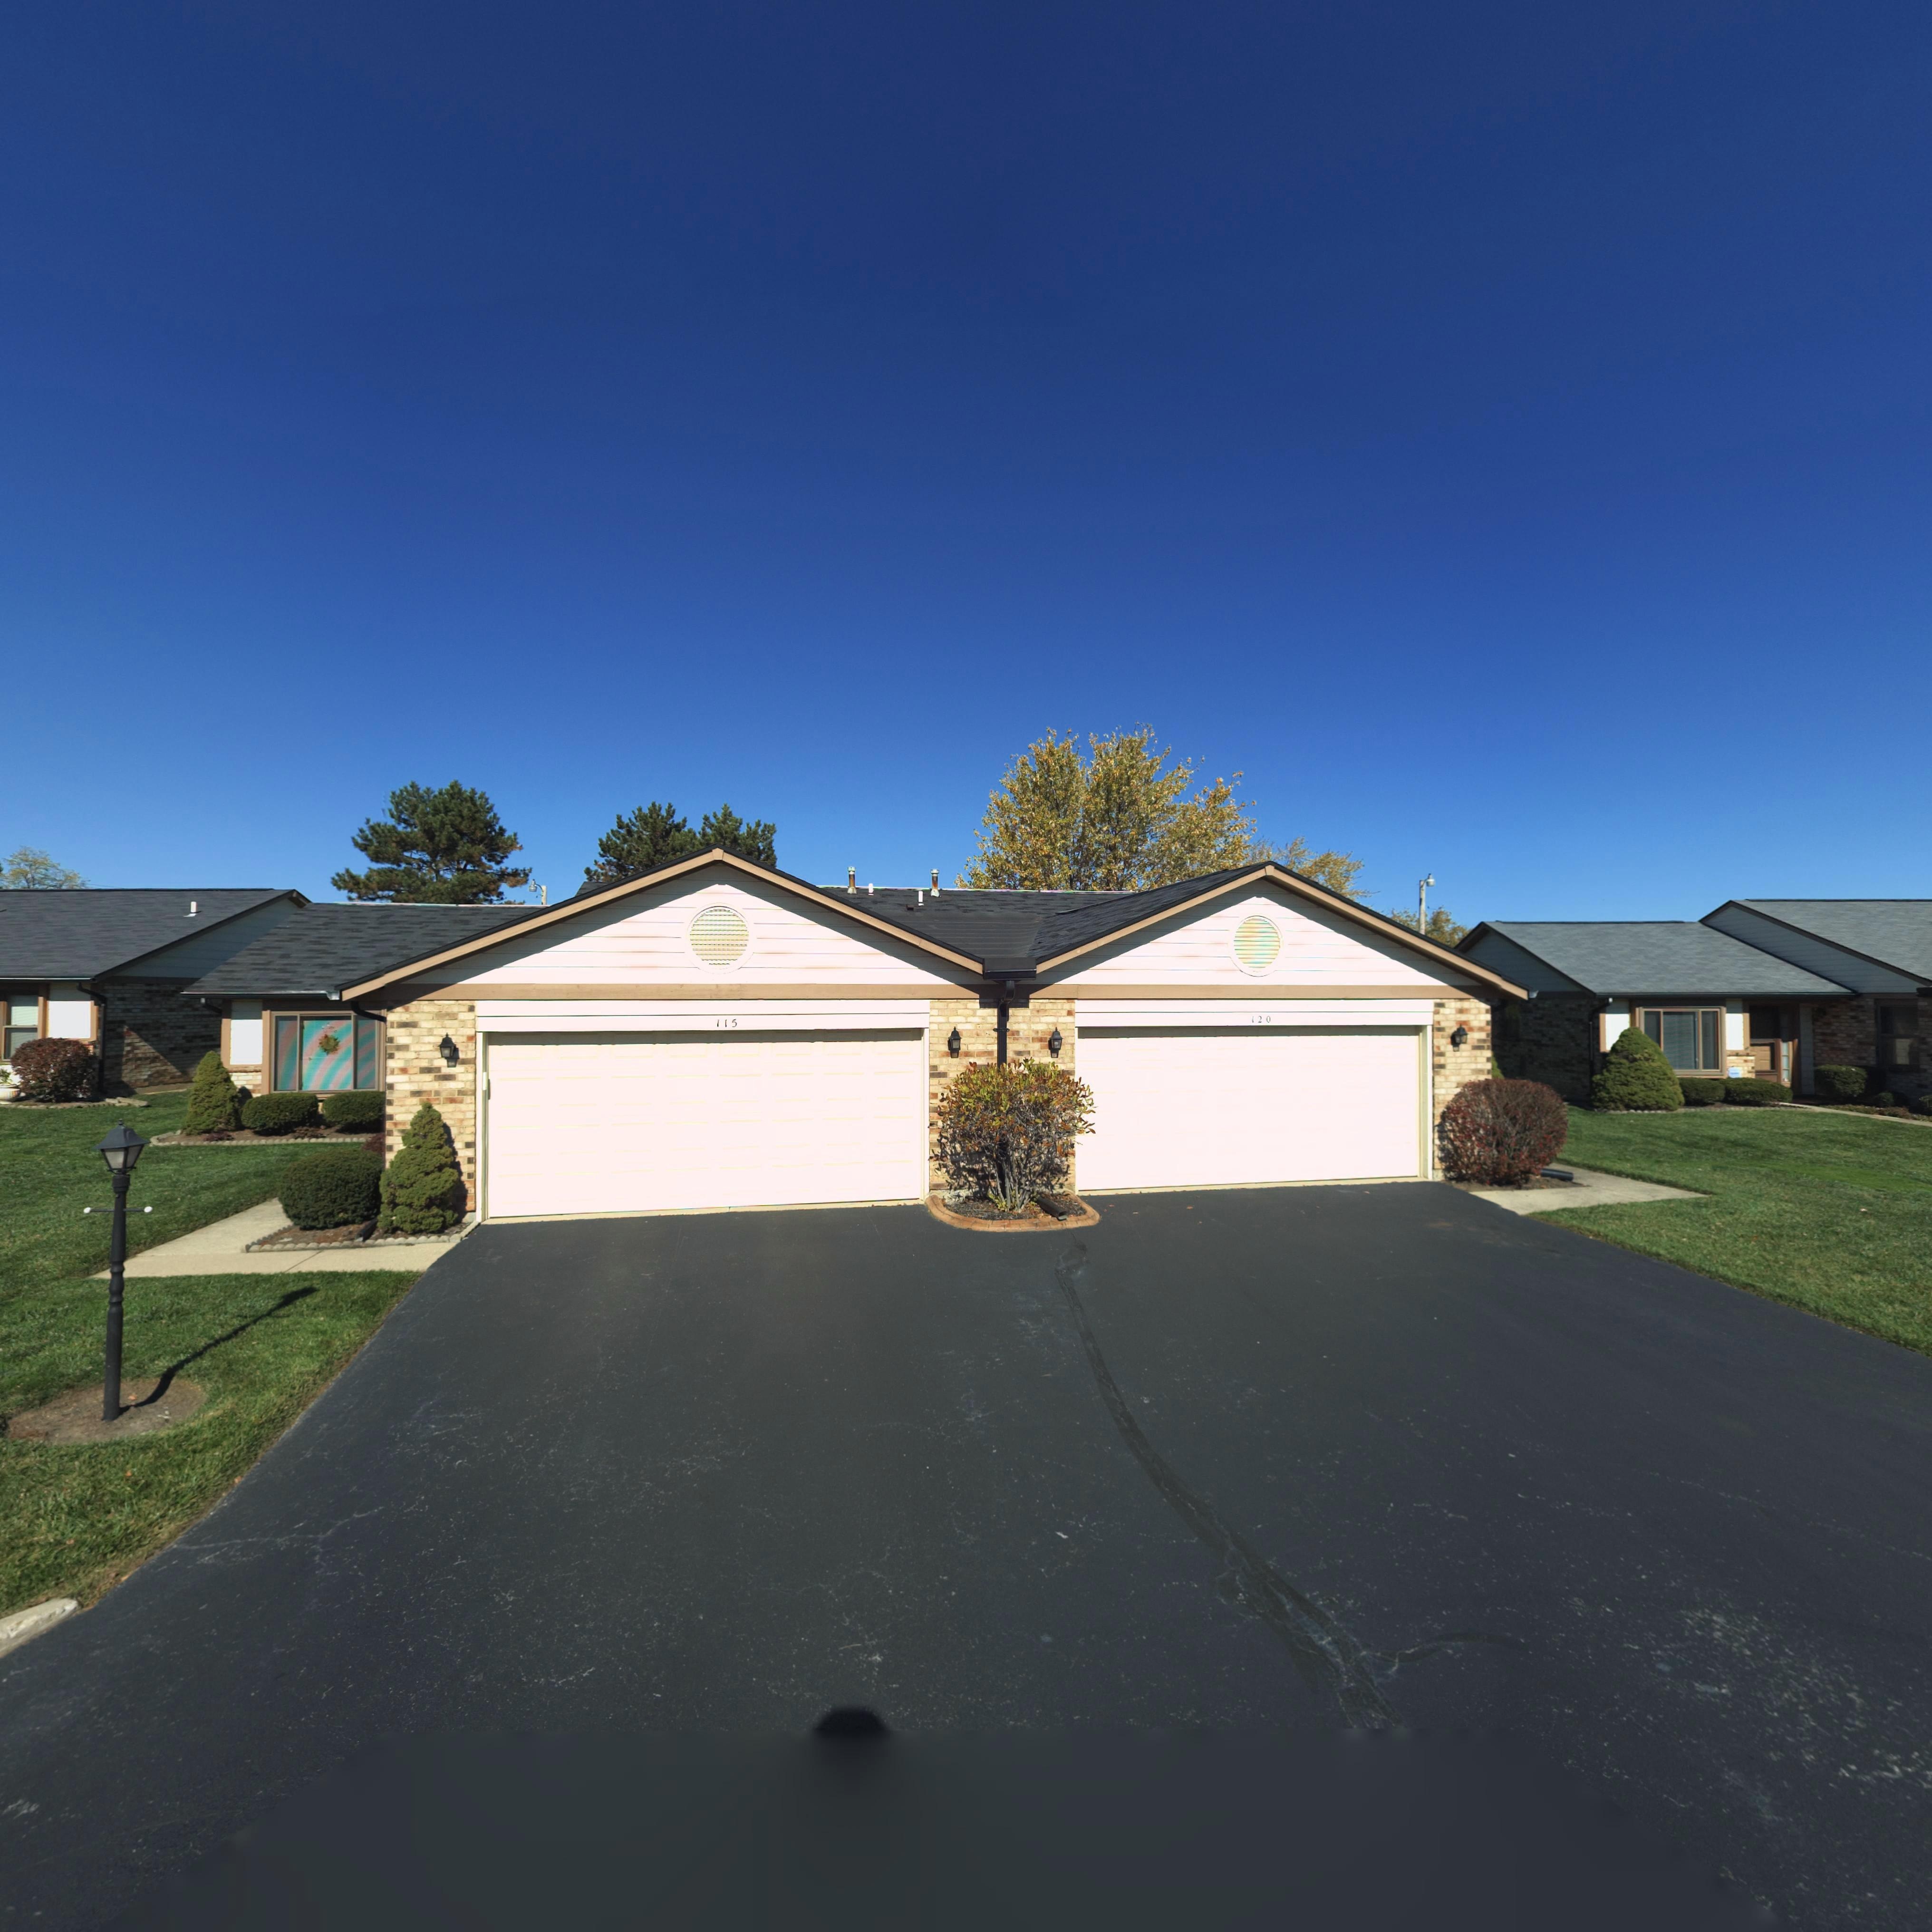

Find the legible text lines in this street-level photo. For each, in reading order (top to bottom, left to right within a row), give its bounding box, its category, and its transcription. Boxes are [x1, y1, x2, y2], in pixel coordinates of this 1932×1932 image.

[716, 1018, 738, 1028] StreetNumber: 115
[1251, 1014, 1272, 1024] StreetNumber: 120